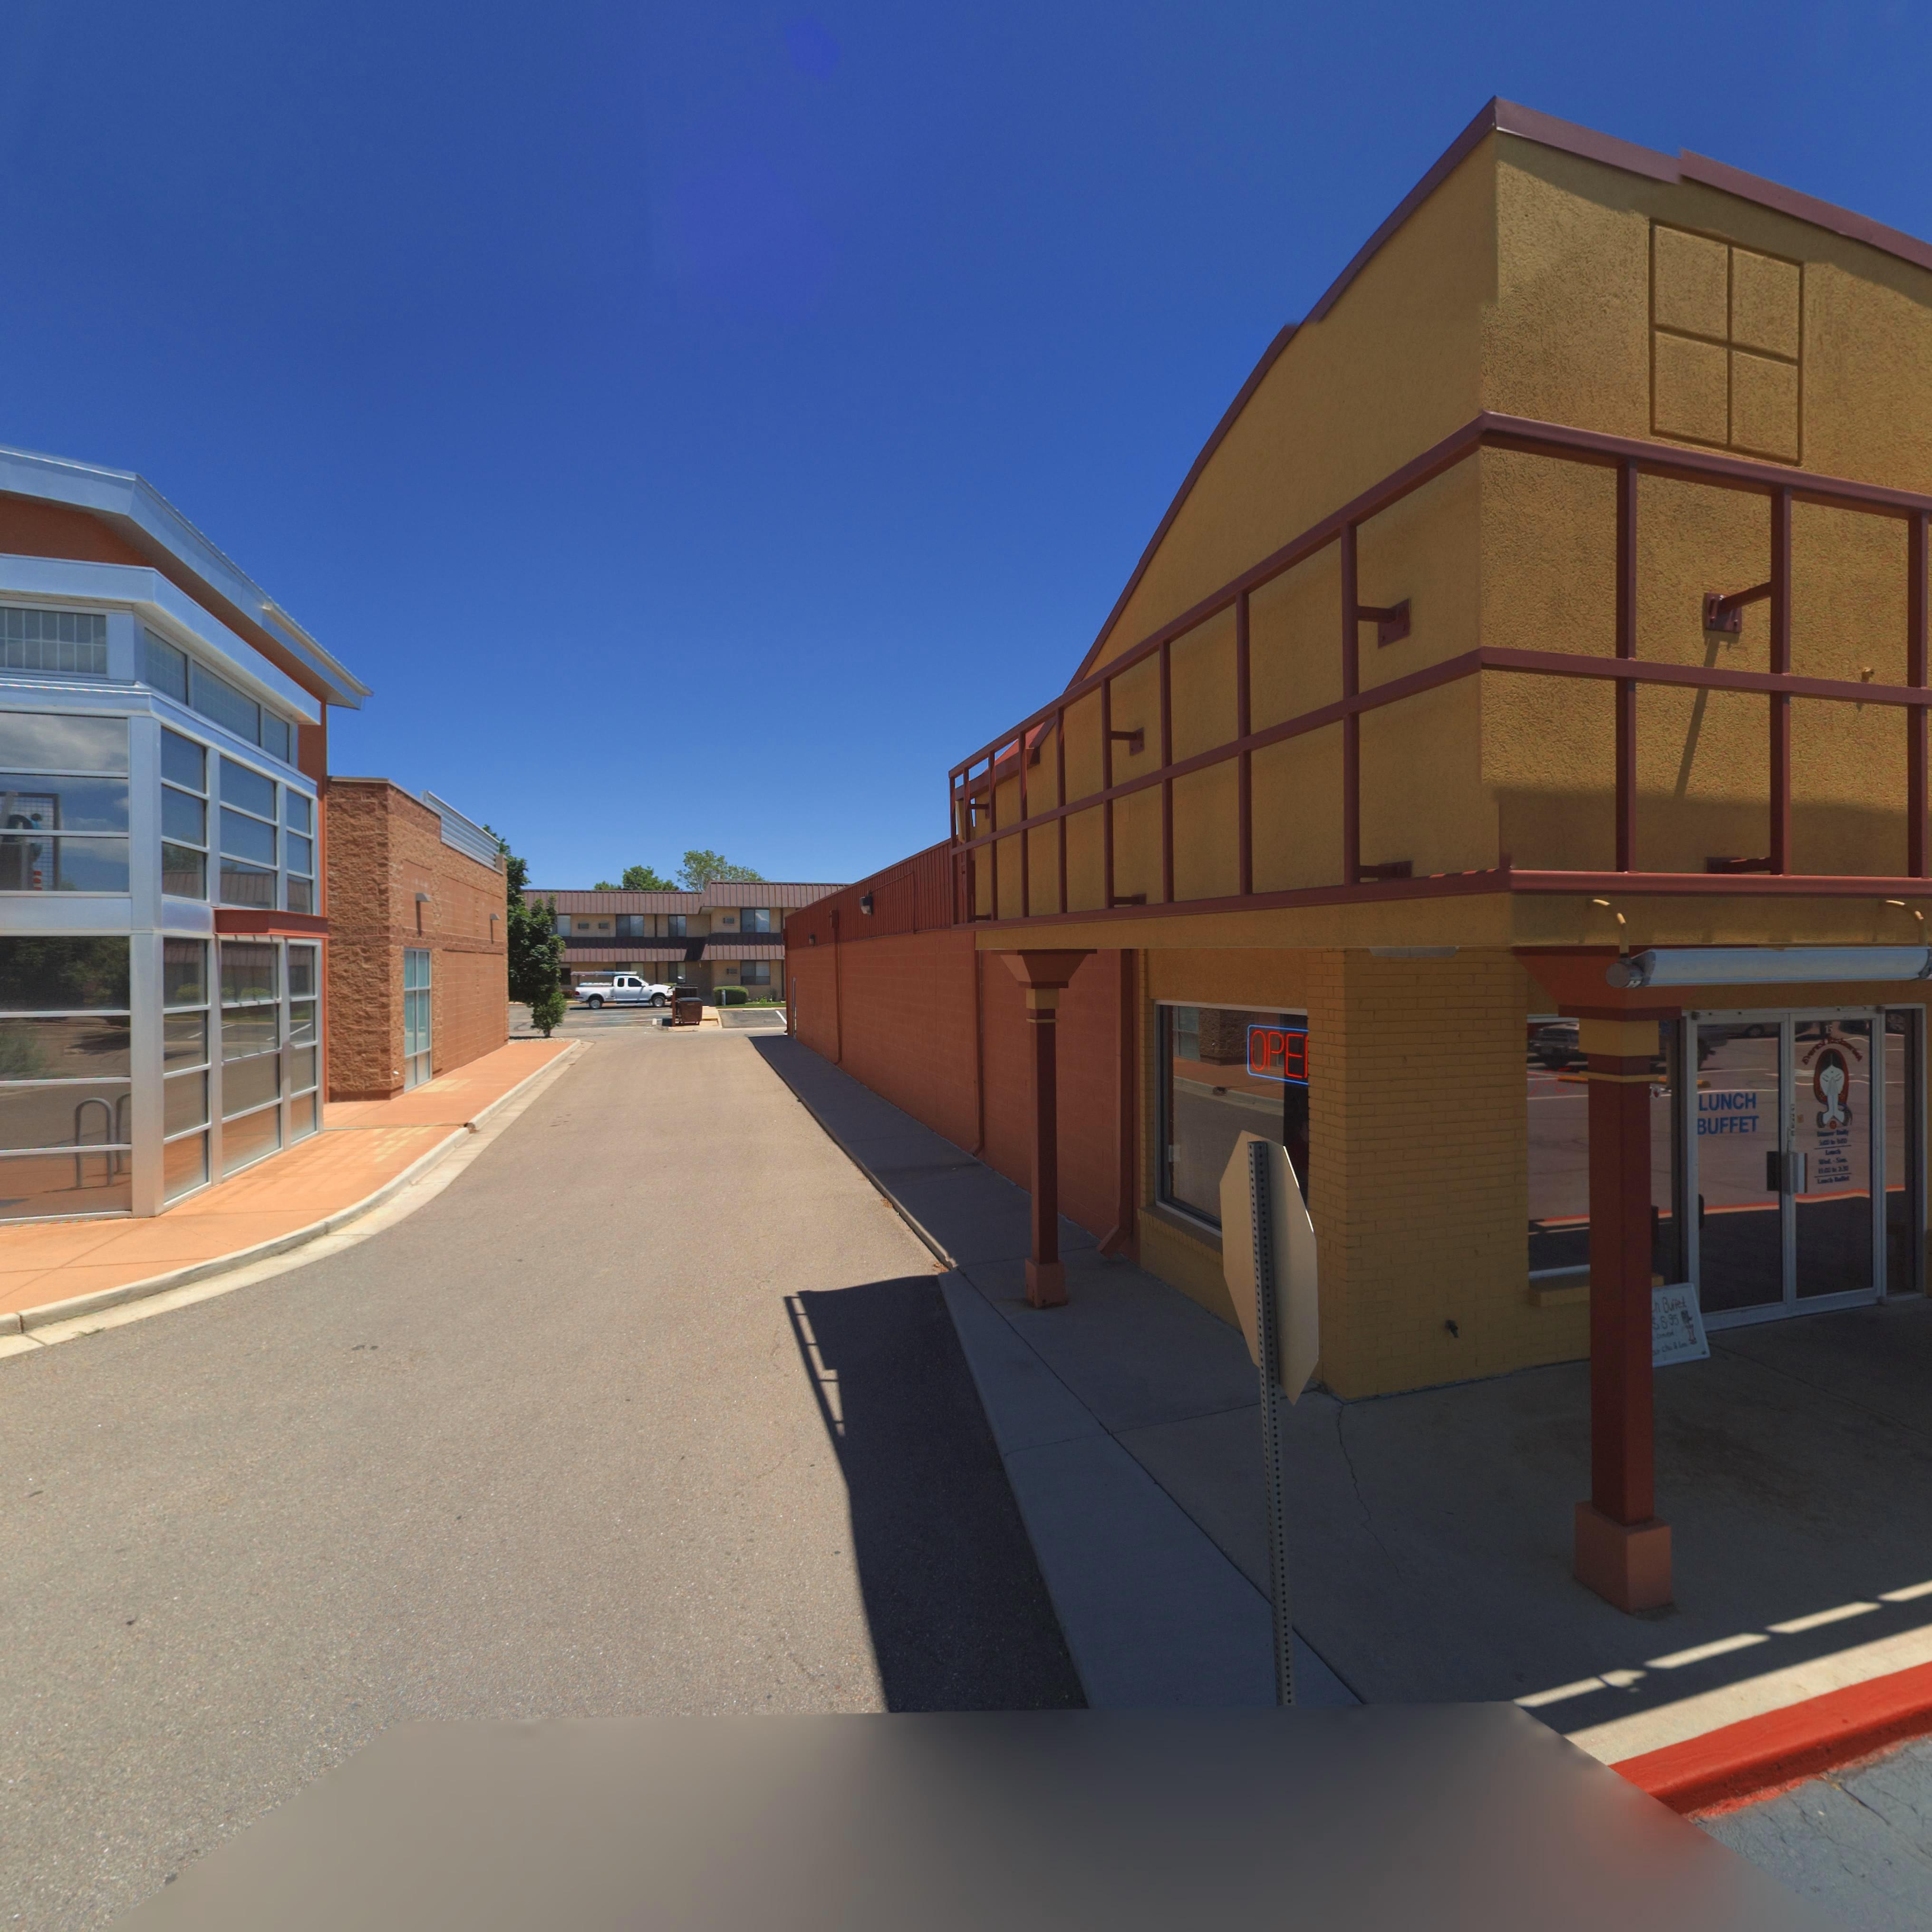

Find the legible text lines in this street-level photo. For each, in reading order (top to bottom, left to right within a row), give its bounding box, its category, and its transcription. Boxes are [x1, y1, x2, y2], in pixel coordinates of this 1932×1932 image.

[1825, 1024, 1834, 1034] StreetNumber: 15